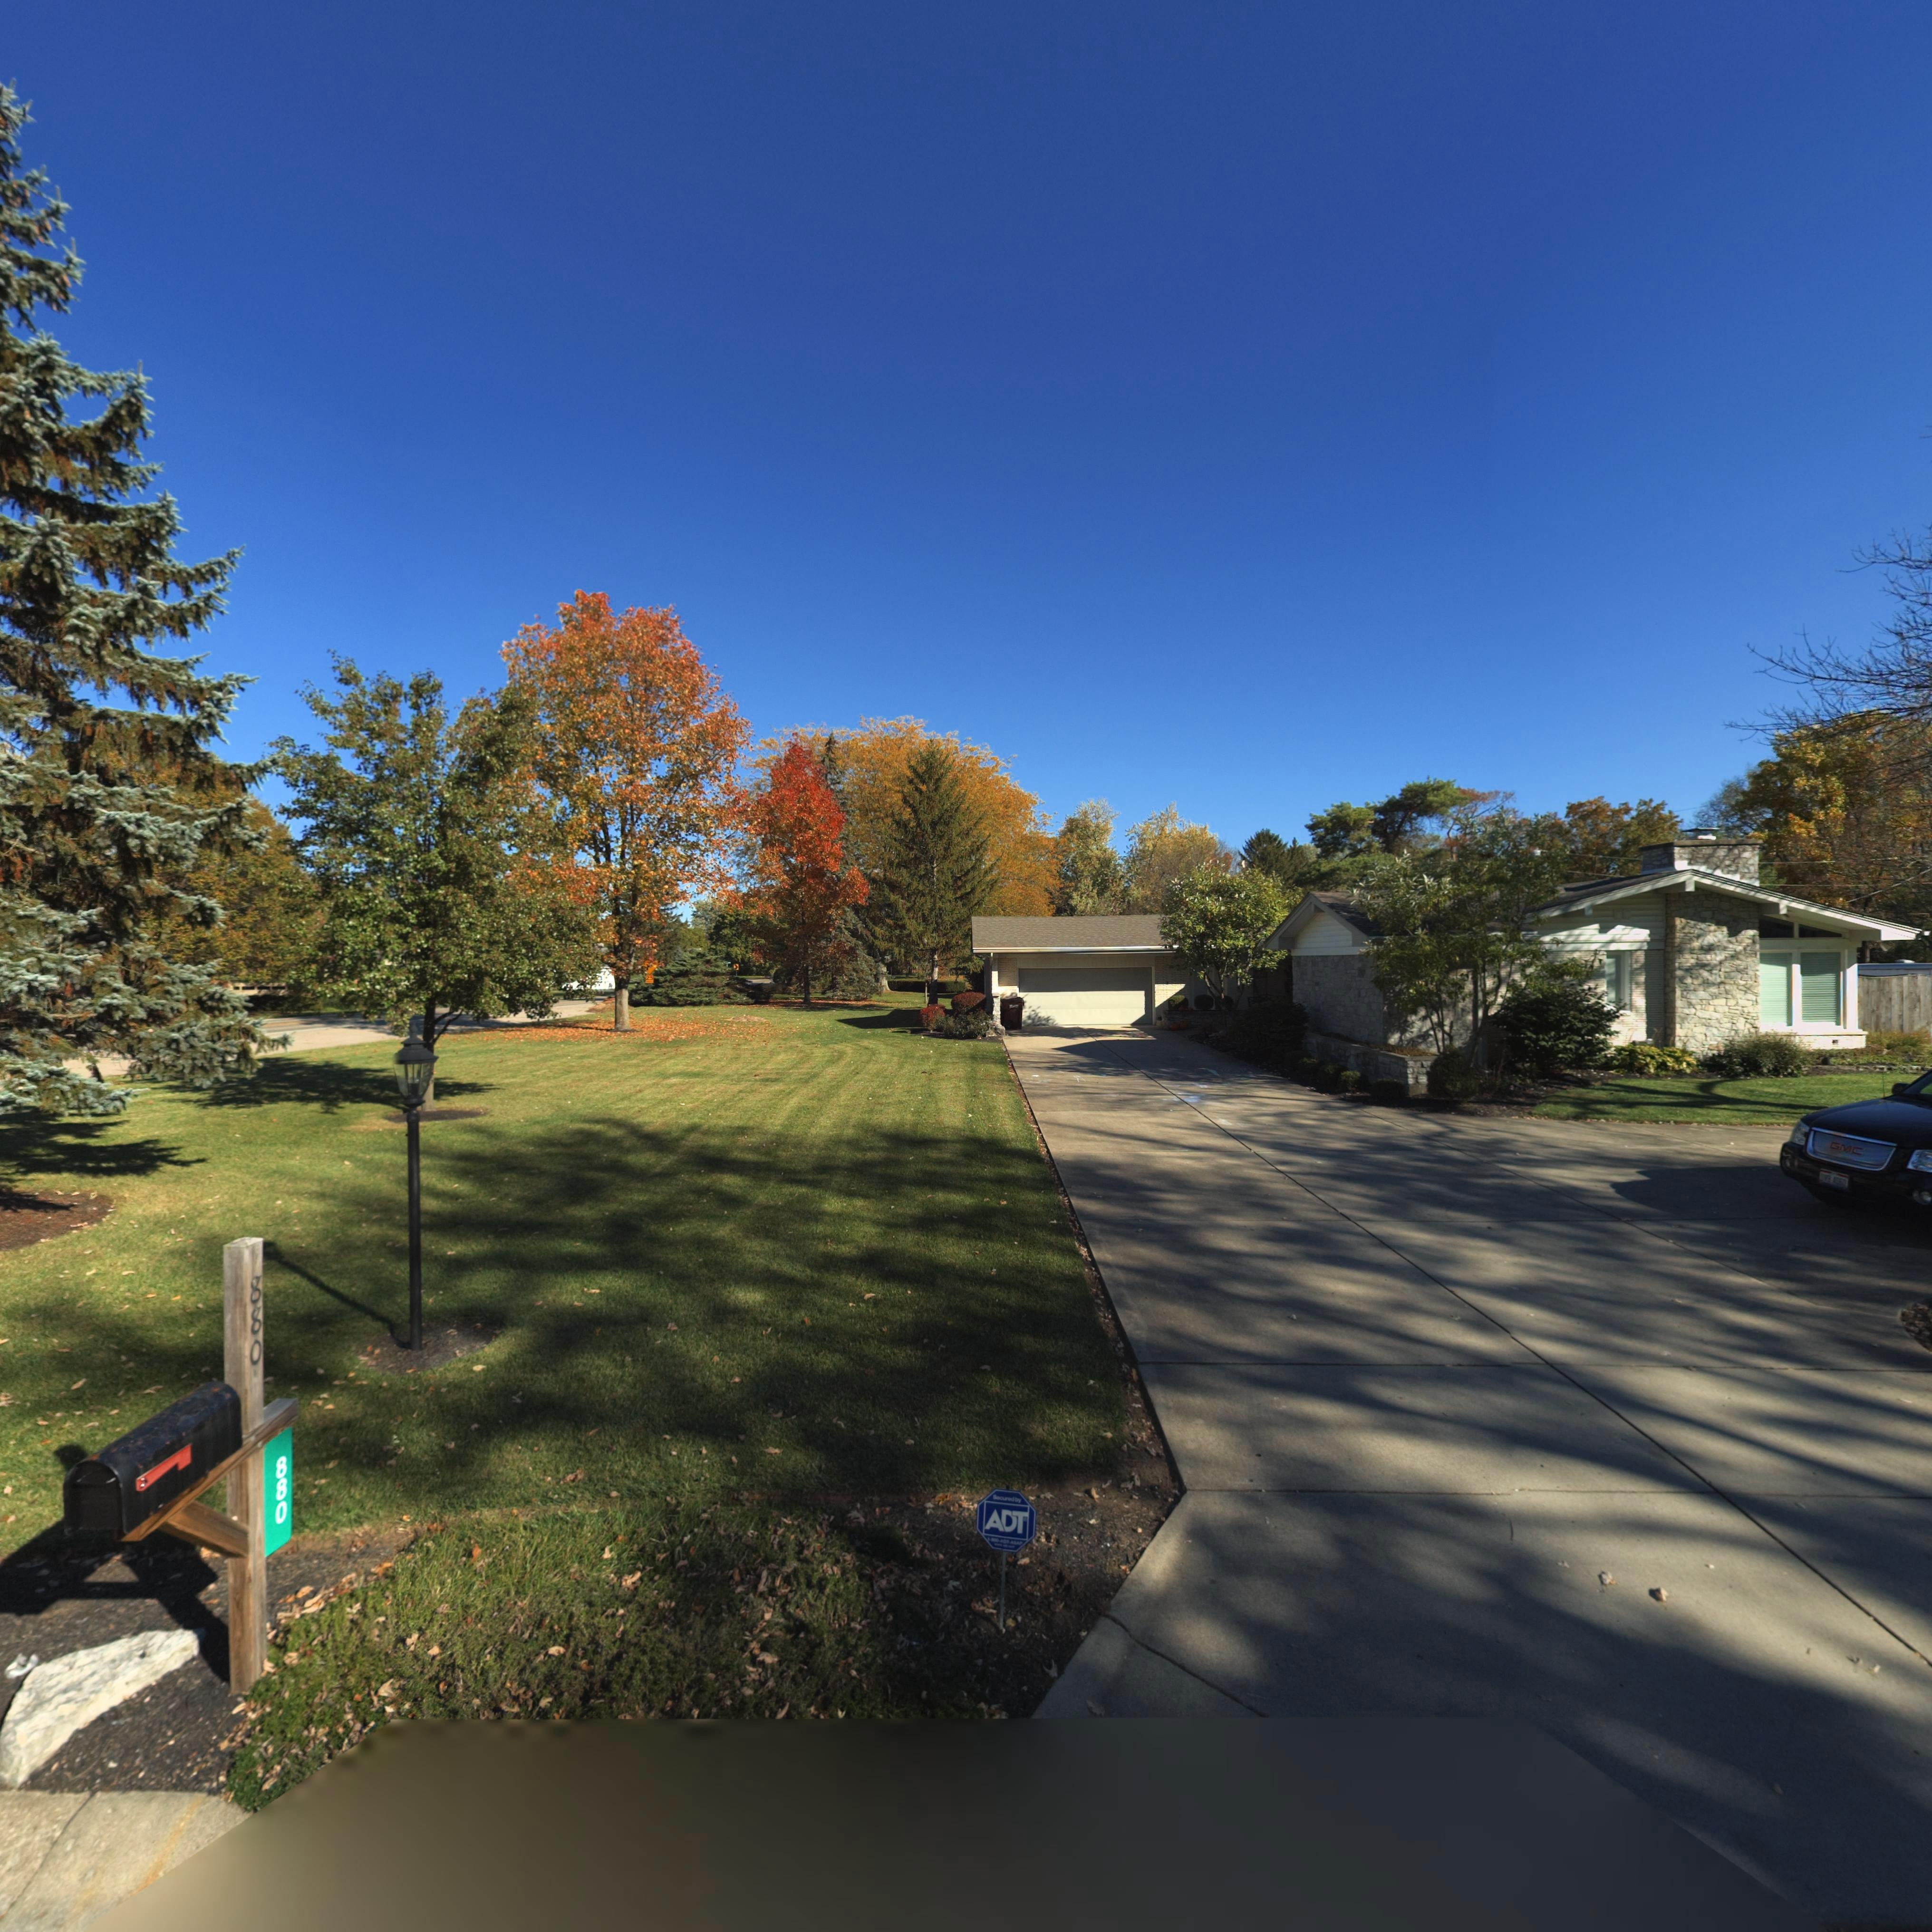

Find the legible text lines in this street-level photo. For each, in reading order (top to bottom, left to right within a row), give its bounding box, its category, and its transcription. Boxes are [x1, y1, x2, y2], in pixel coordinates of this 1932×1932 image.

[1828, 1140, 1865, 1157] StreetNumber: GMC
[248, 1275, 263, 1367] StreetNumber: 880
[274, 1454, 289, 1525] StreetNumber: 880
[992, 1493, 1023, 1504] None: Secured by
[983, 1507, 1030, 1535] None: ADT
[987, 1536, 1024, 1546] None: 1-800-ADT-ASAP